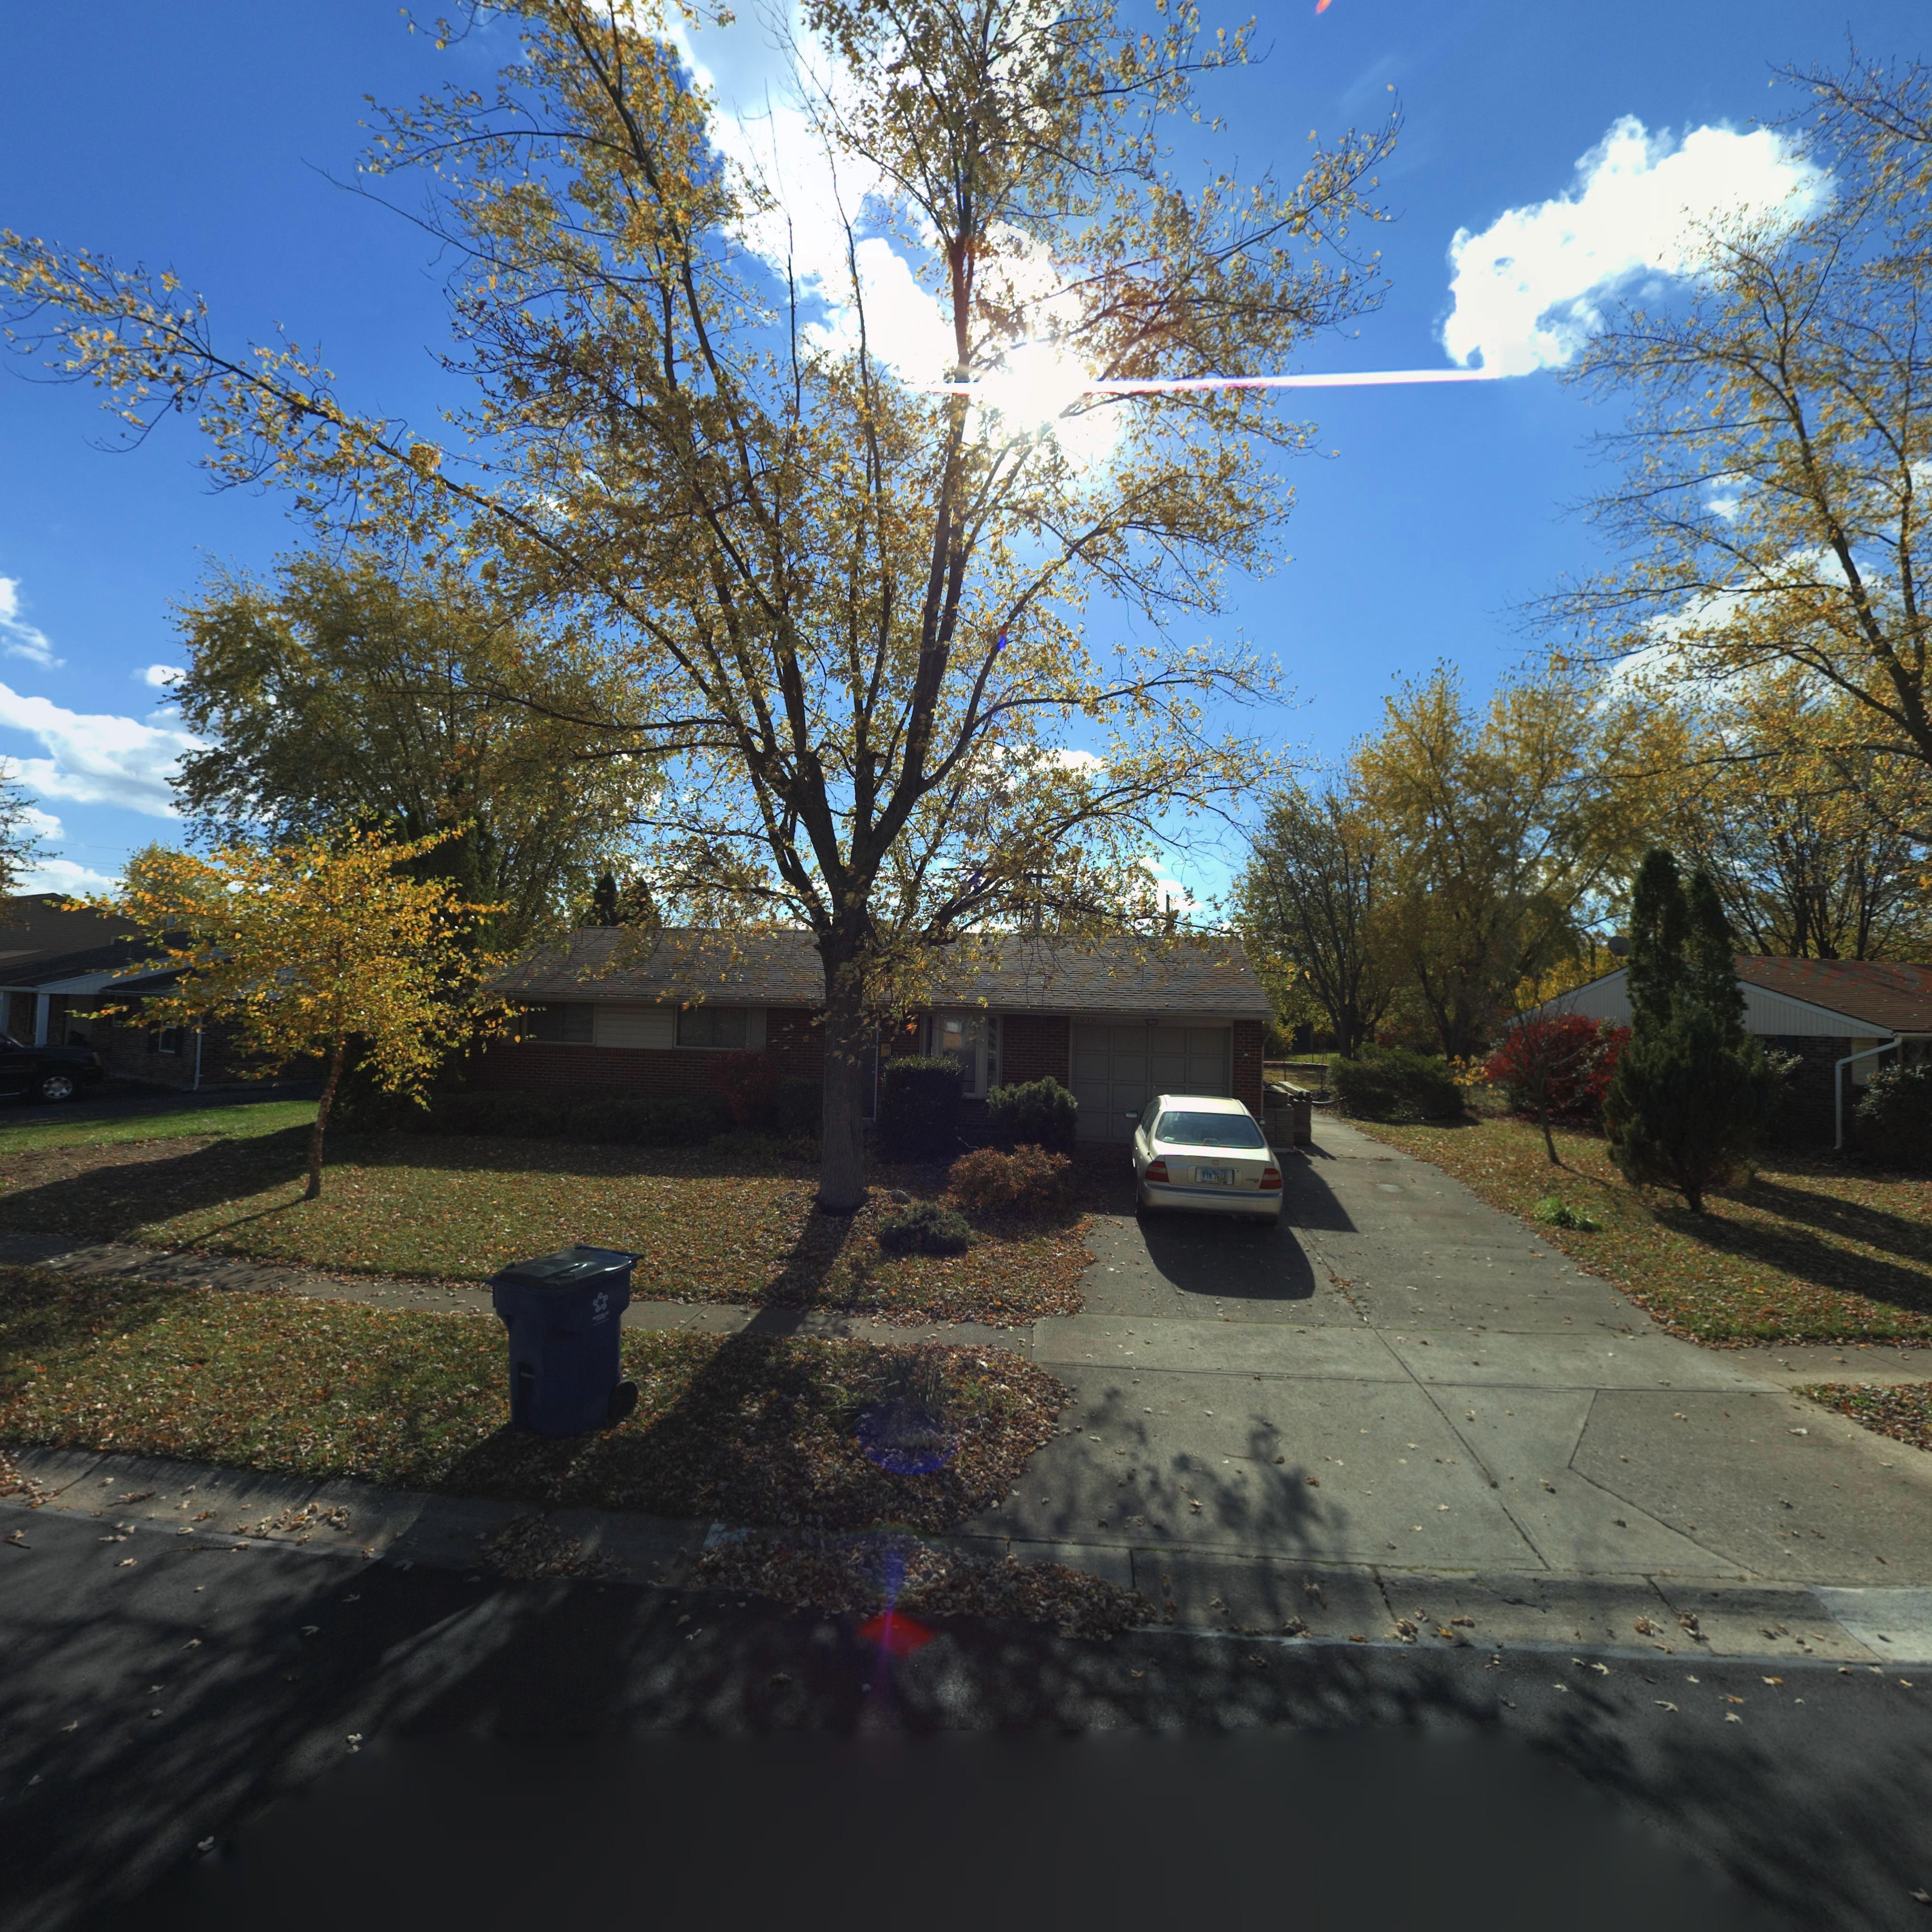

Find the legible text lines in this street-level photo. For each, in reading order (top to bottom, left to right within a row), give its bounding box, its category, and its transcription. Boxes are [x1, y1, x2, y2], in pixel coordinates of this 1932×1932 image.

[1073, 1015, 1097, 1024] StreetNumber: 70**